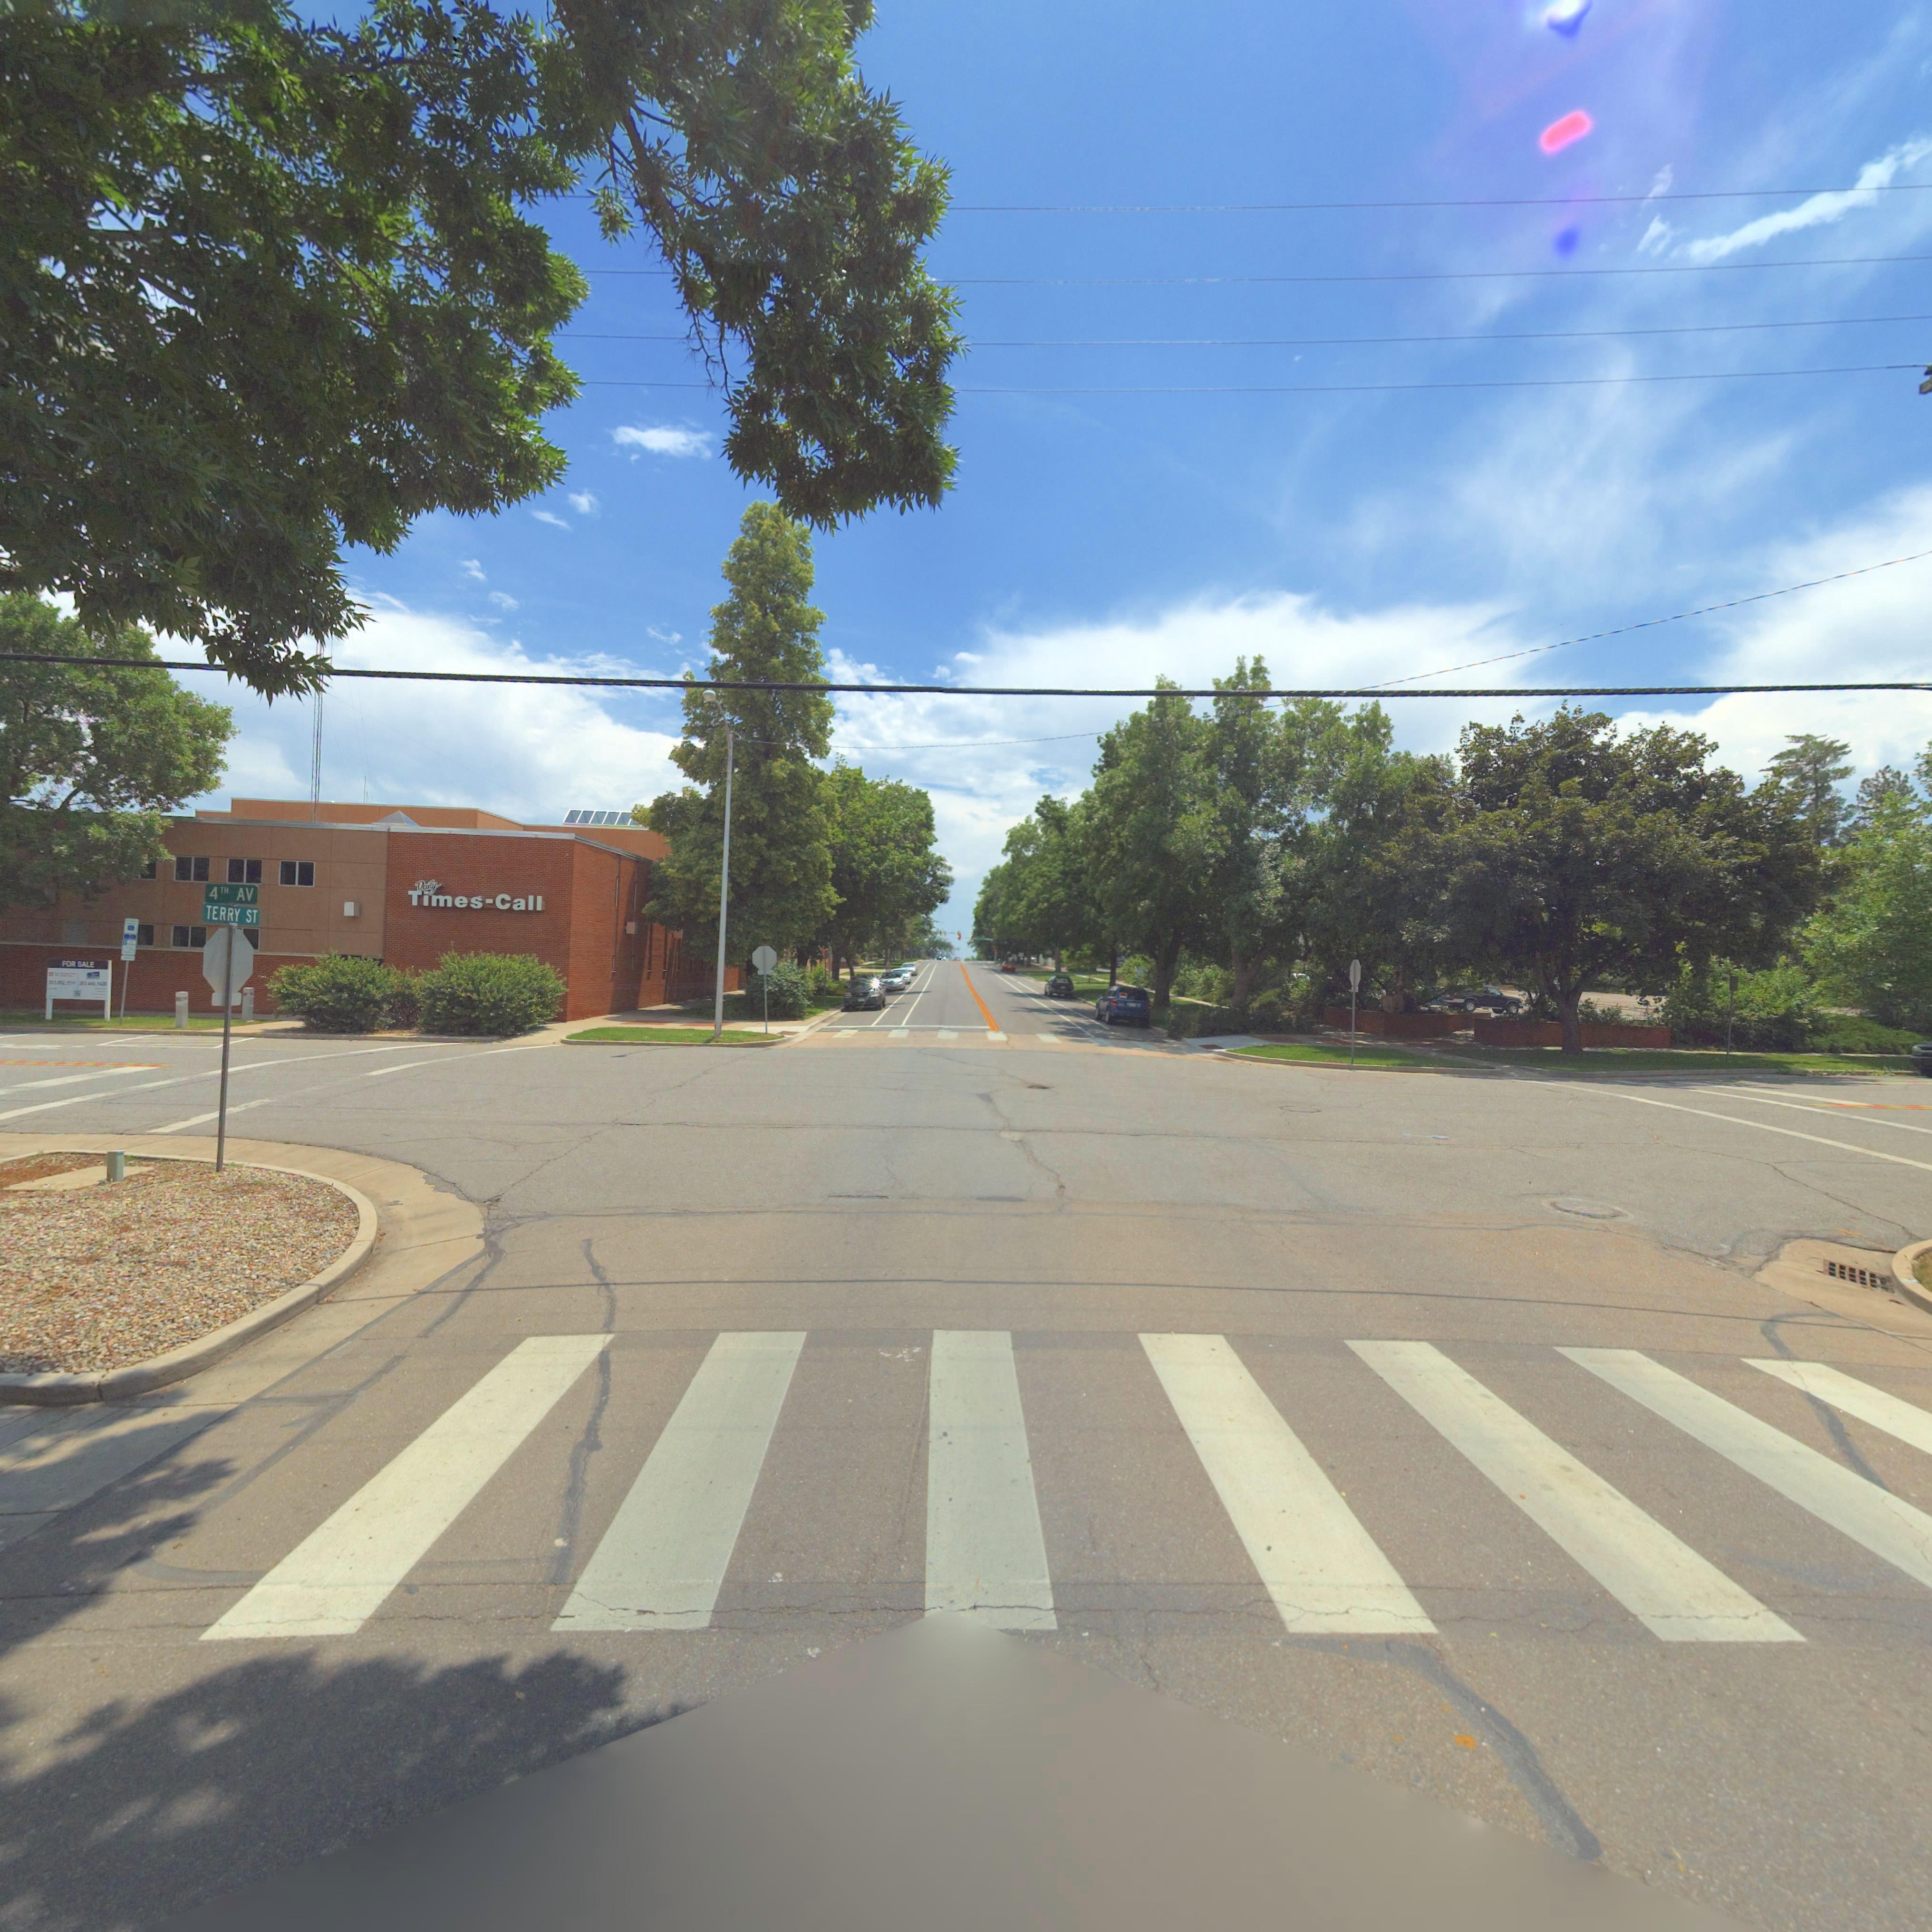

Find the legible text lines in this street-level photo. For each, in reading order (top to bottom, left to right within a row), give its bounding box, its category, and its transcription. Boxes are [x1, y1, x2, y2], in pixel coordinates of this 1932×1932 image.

[208, 886, 255, 901] StreetName: 4TH AV
[415, 879, 436, 896] BusinessName: Daily
[407, 890, 542, 911] BusinessName: Times * Call
[205, 904, 258, 923] BusinessName: TERRY ST